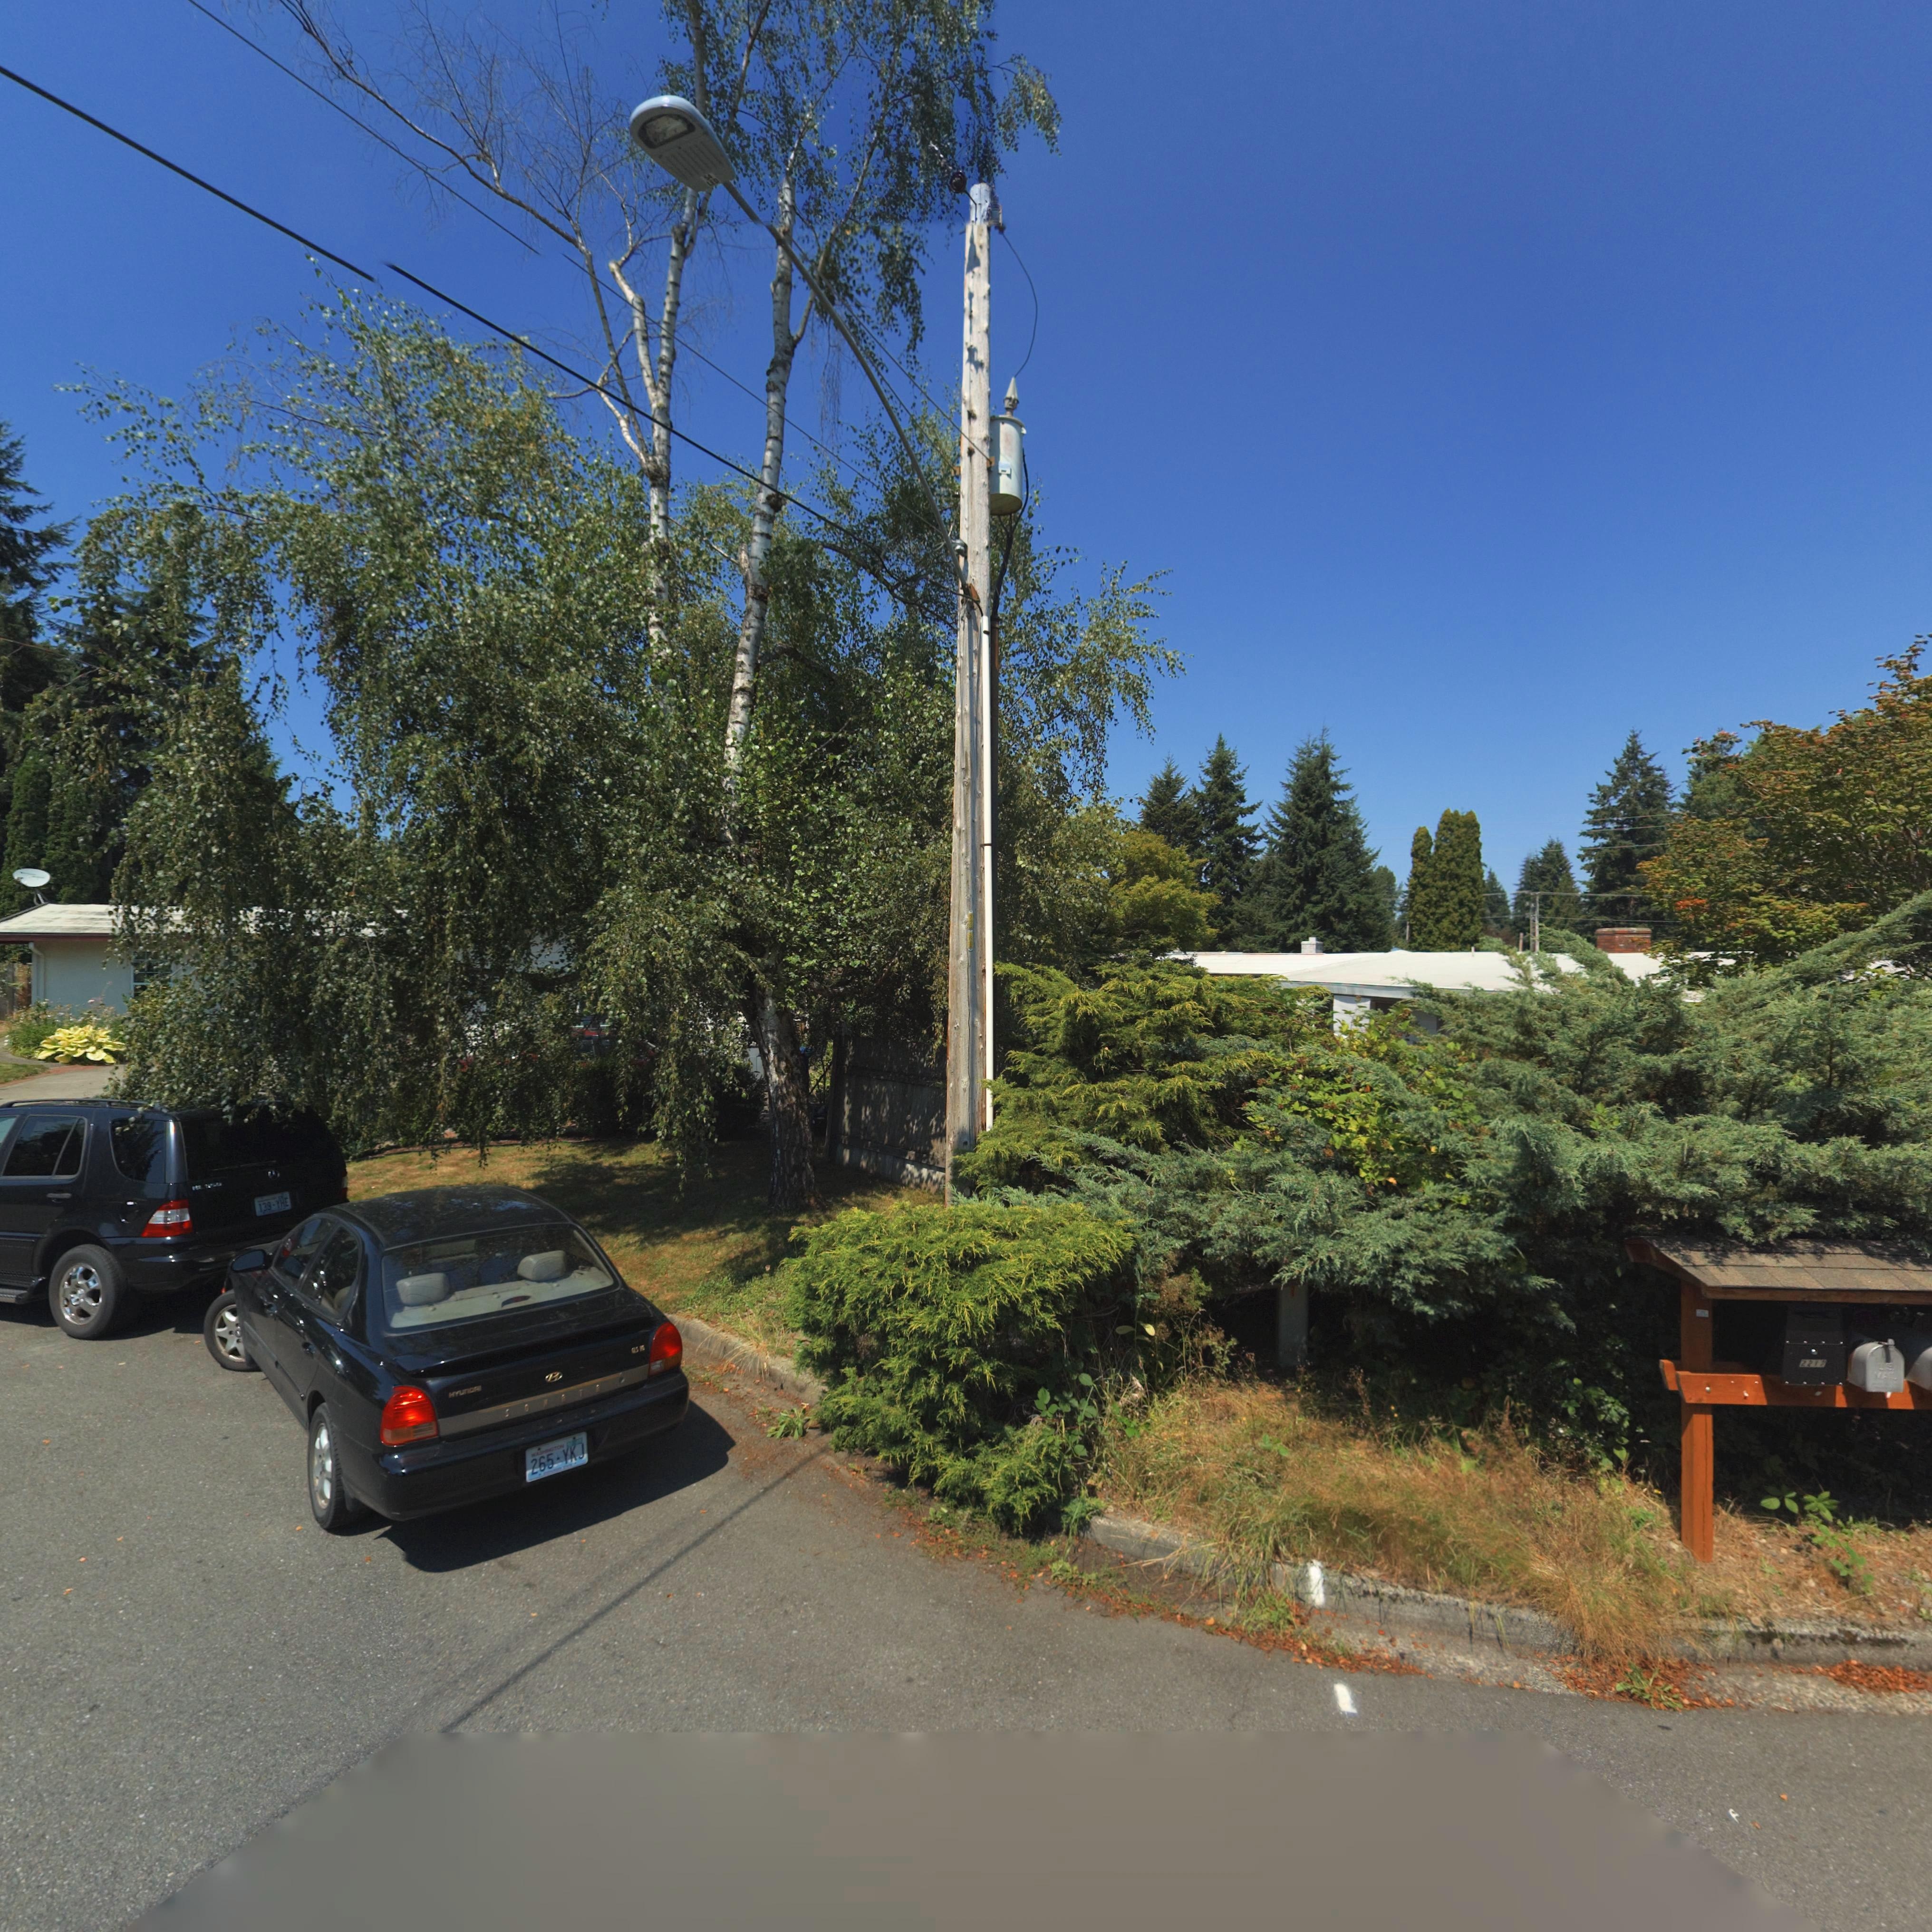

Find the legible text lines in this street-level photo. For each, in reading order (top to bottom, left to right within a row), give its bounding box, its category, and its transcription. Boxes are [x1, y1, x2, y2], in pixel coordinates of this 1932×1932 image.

[1799, 1358, 1826, 1369] StreetNumber: 2212